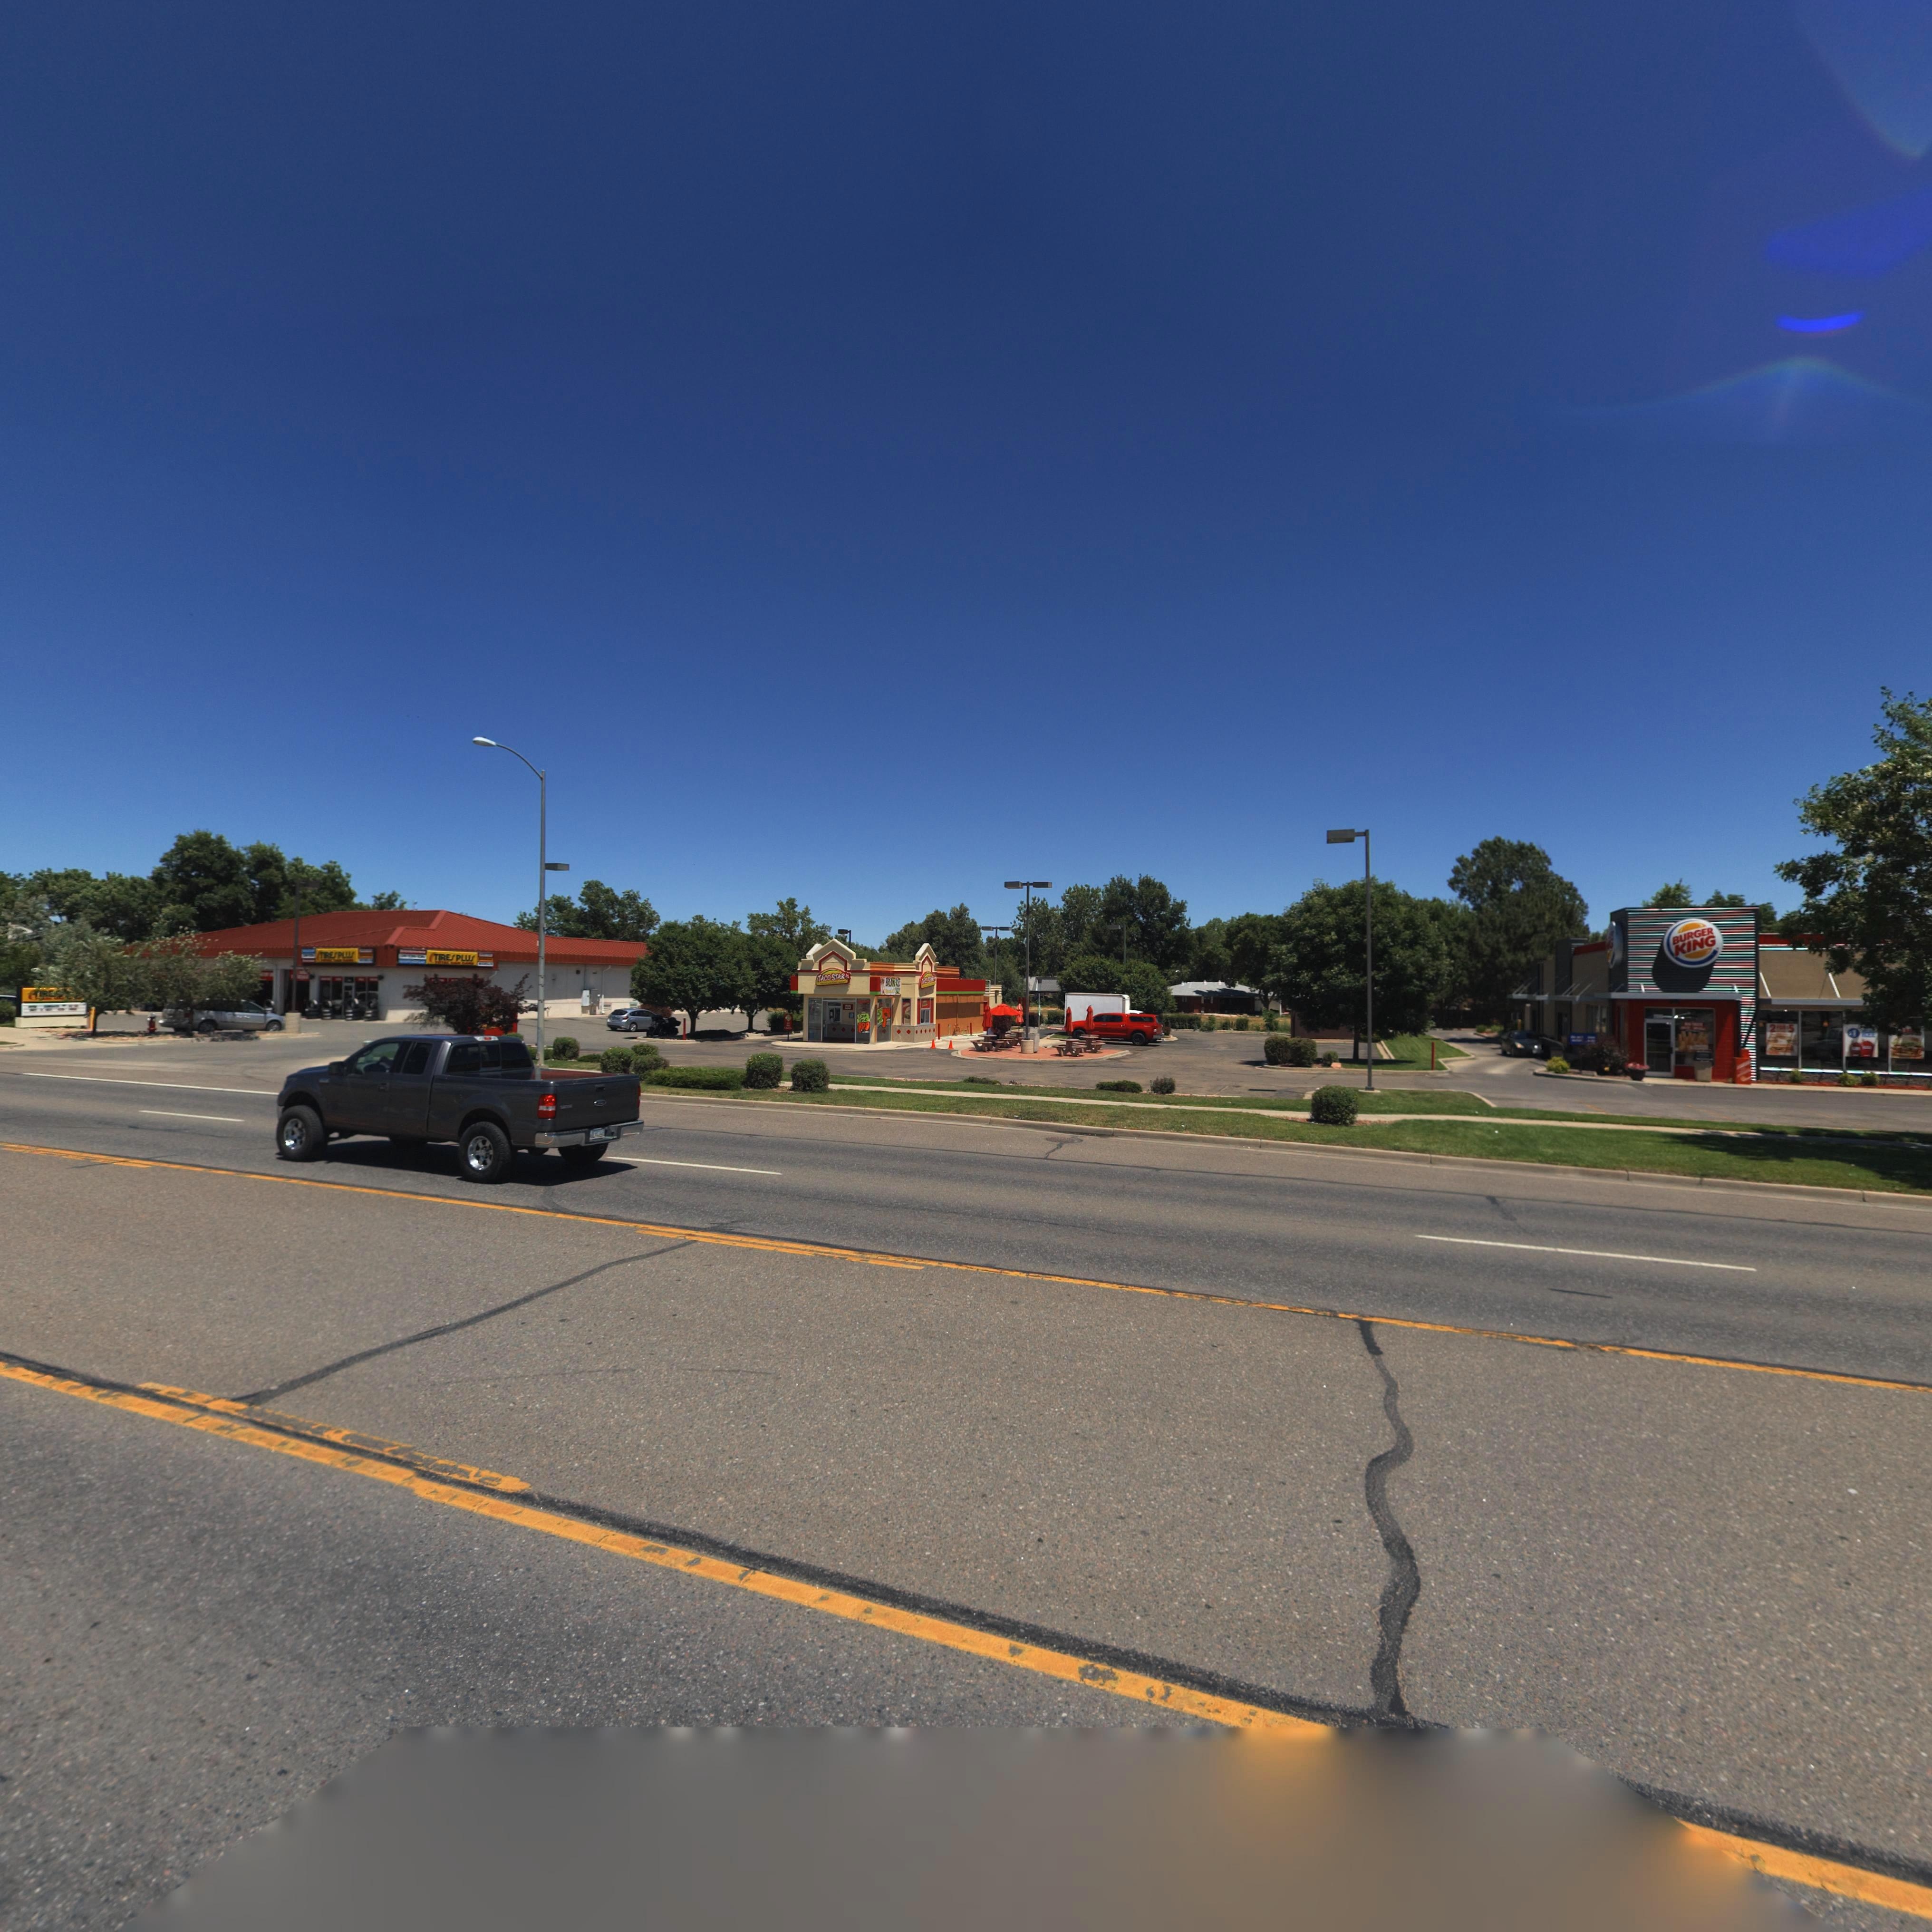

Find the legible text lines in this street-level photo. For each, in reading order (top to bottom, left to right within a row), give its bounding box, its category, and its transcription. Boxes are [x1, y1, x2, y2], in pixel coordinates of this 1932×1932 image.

[1671, 927, 1715, 946] StreetNumber: BURGER
[1672, 935, 1716, 958] BusinessName: KING
[319, 951, 355, 958] BusinessName: TIRES PLUS
[433, 953, 476, 961] BusinessName: TIRES PLUS
[817, 973, 845, 982] BusinessName: TACO STAR
[921, 975, 935, 985] BusinessName: T***S***